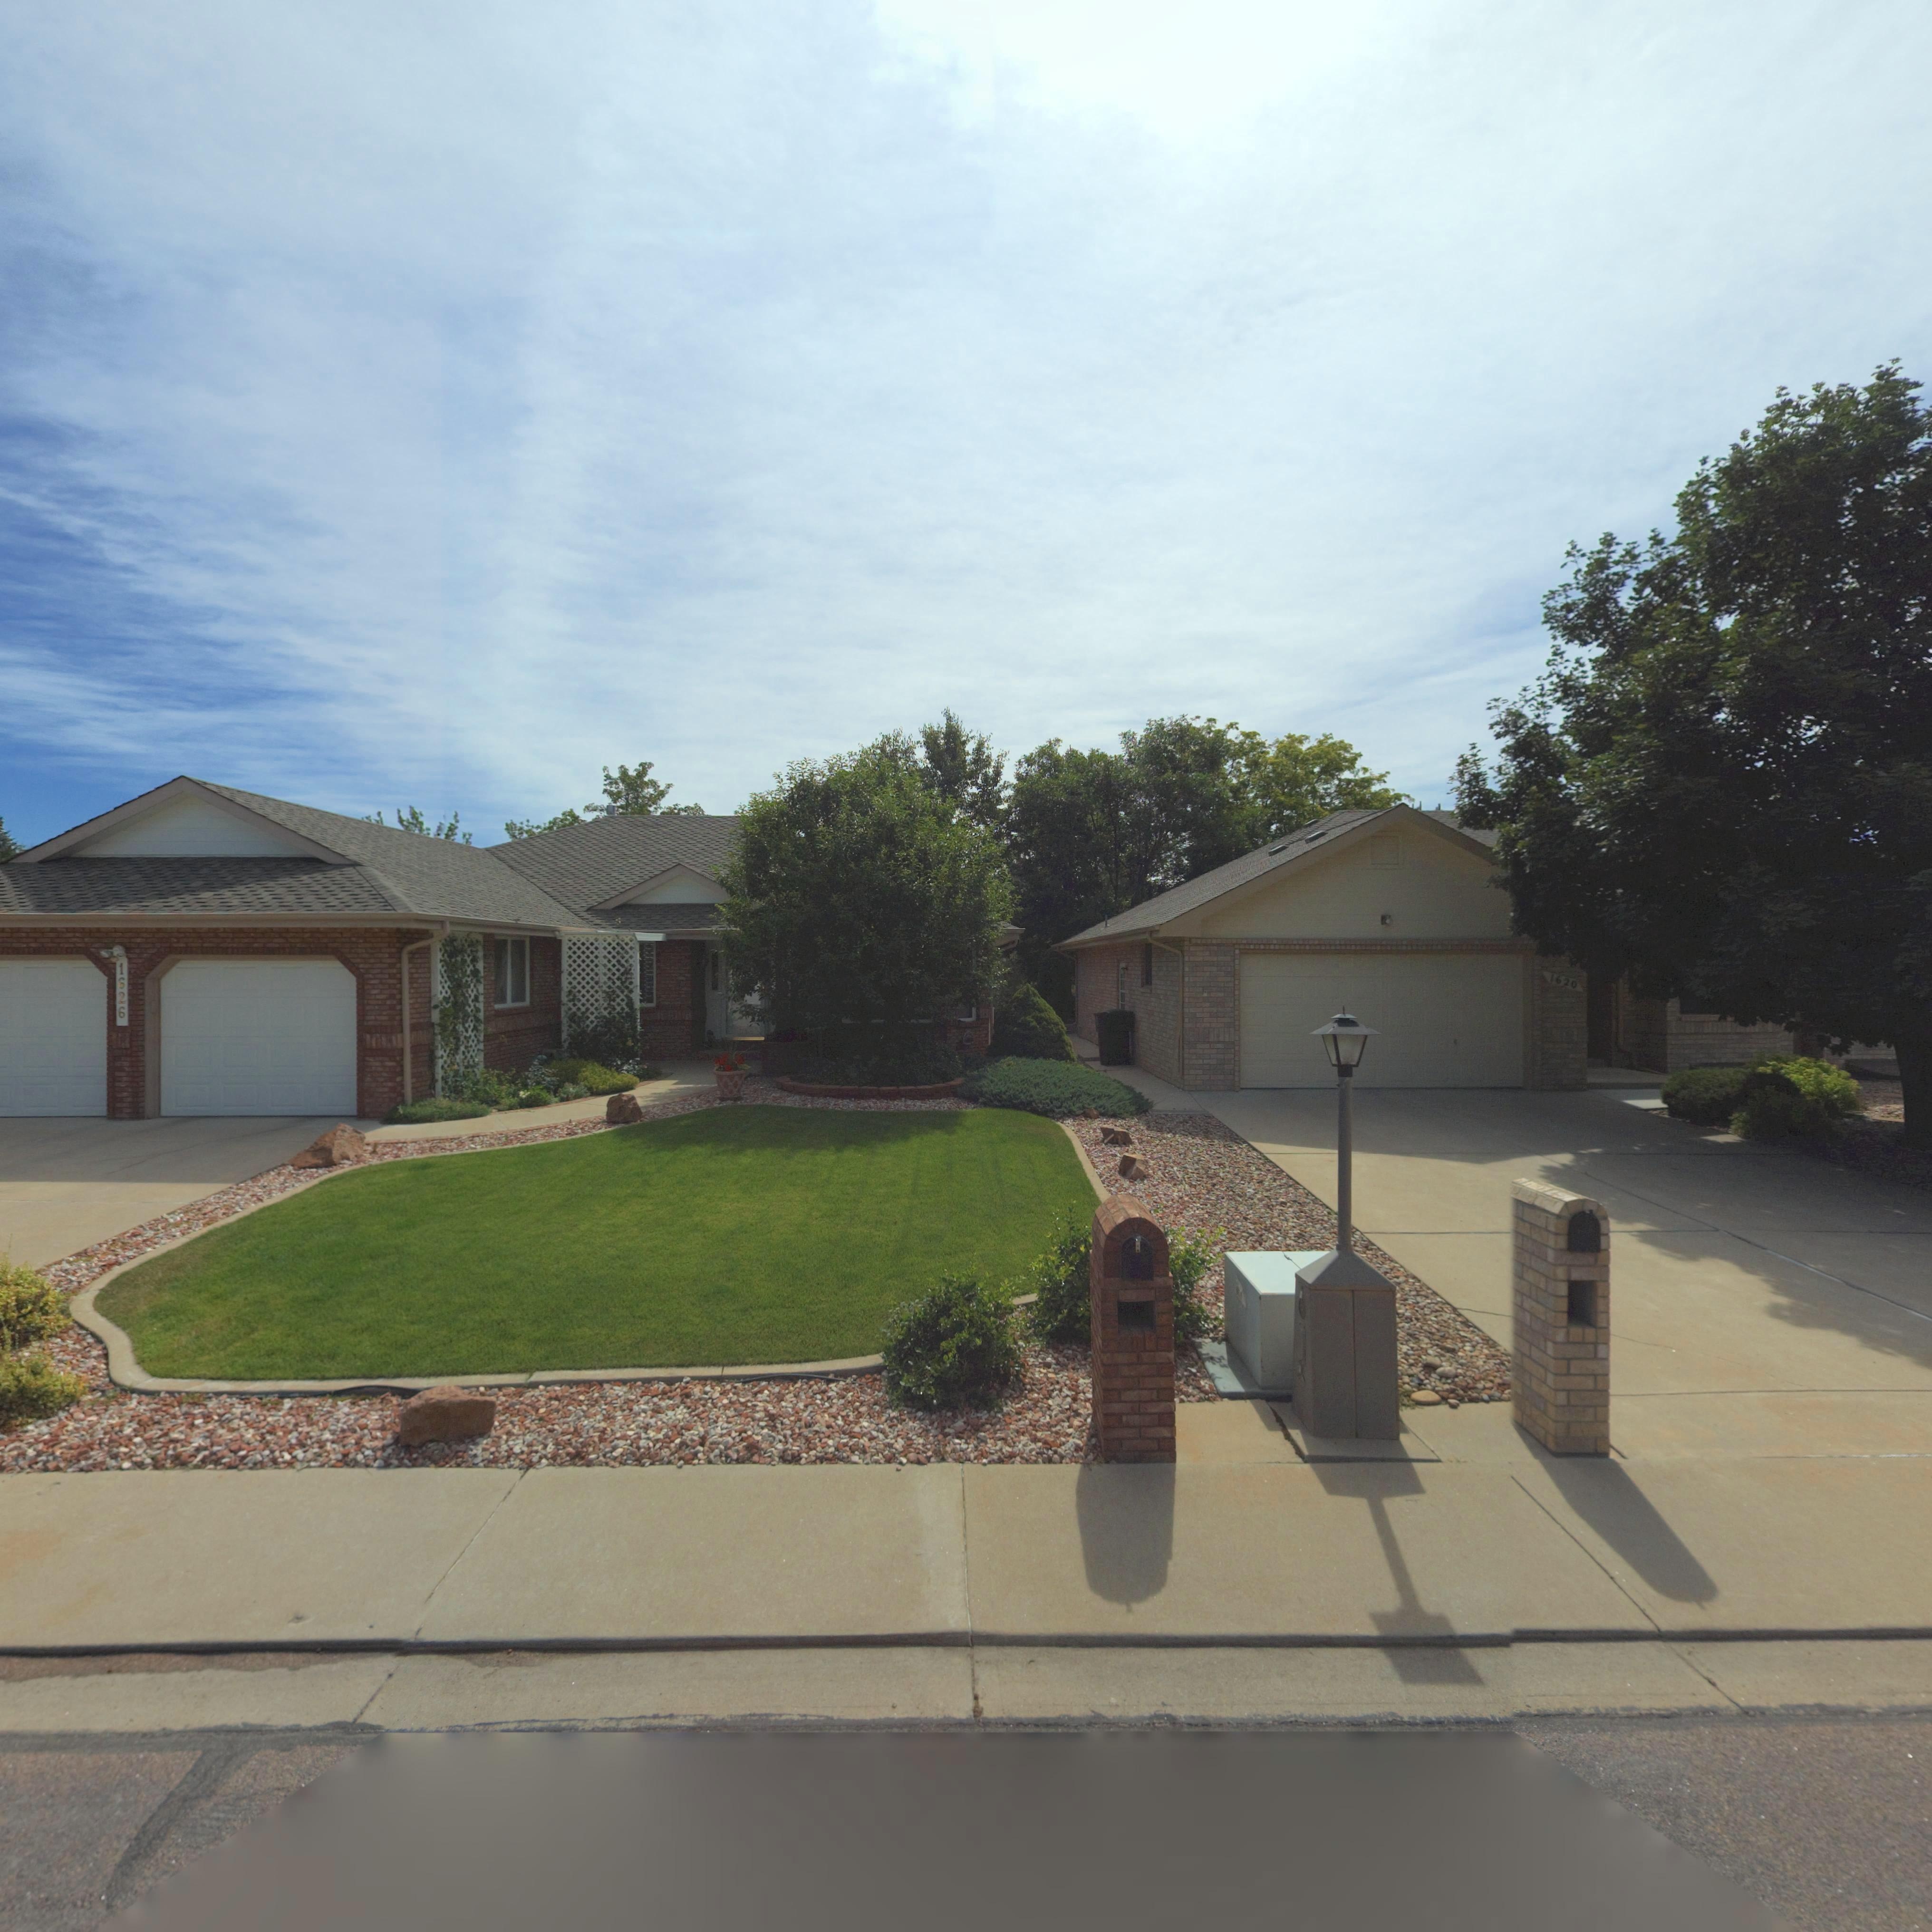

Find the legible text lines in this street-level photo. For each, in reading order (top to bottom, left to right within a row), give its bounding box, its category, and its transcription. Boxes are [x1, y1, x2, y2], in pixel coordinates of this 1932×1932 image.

[117, 962, 126, 1018] StreetNumber: 1626
[1550, 973, 1577, 989] StreetNumber: 1620